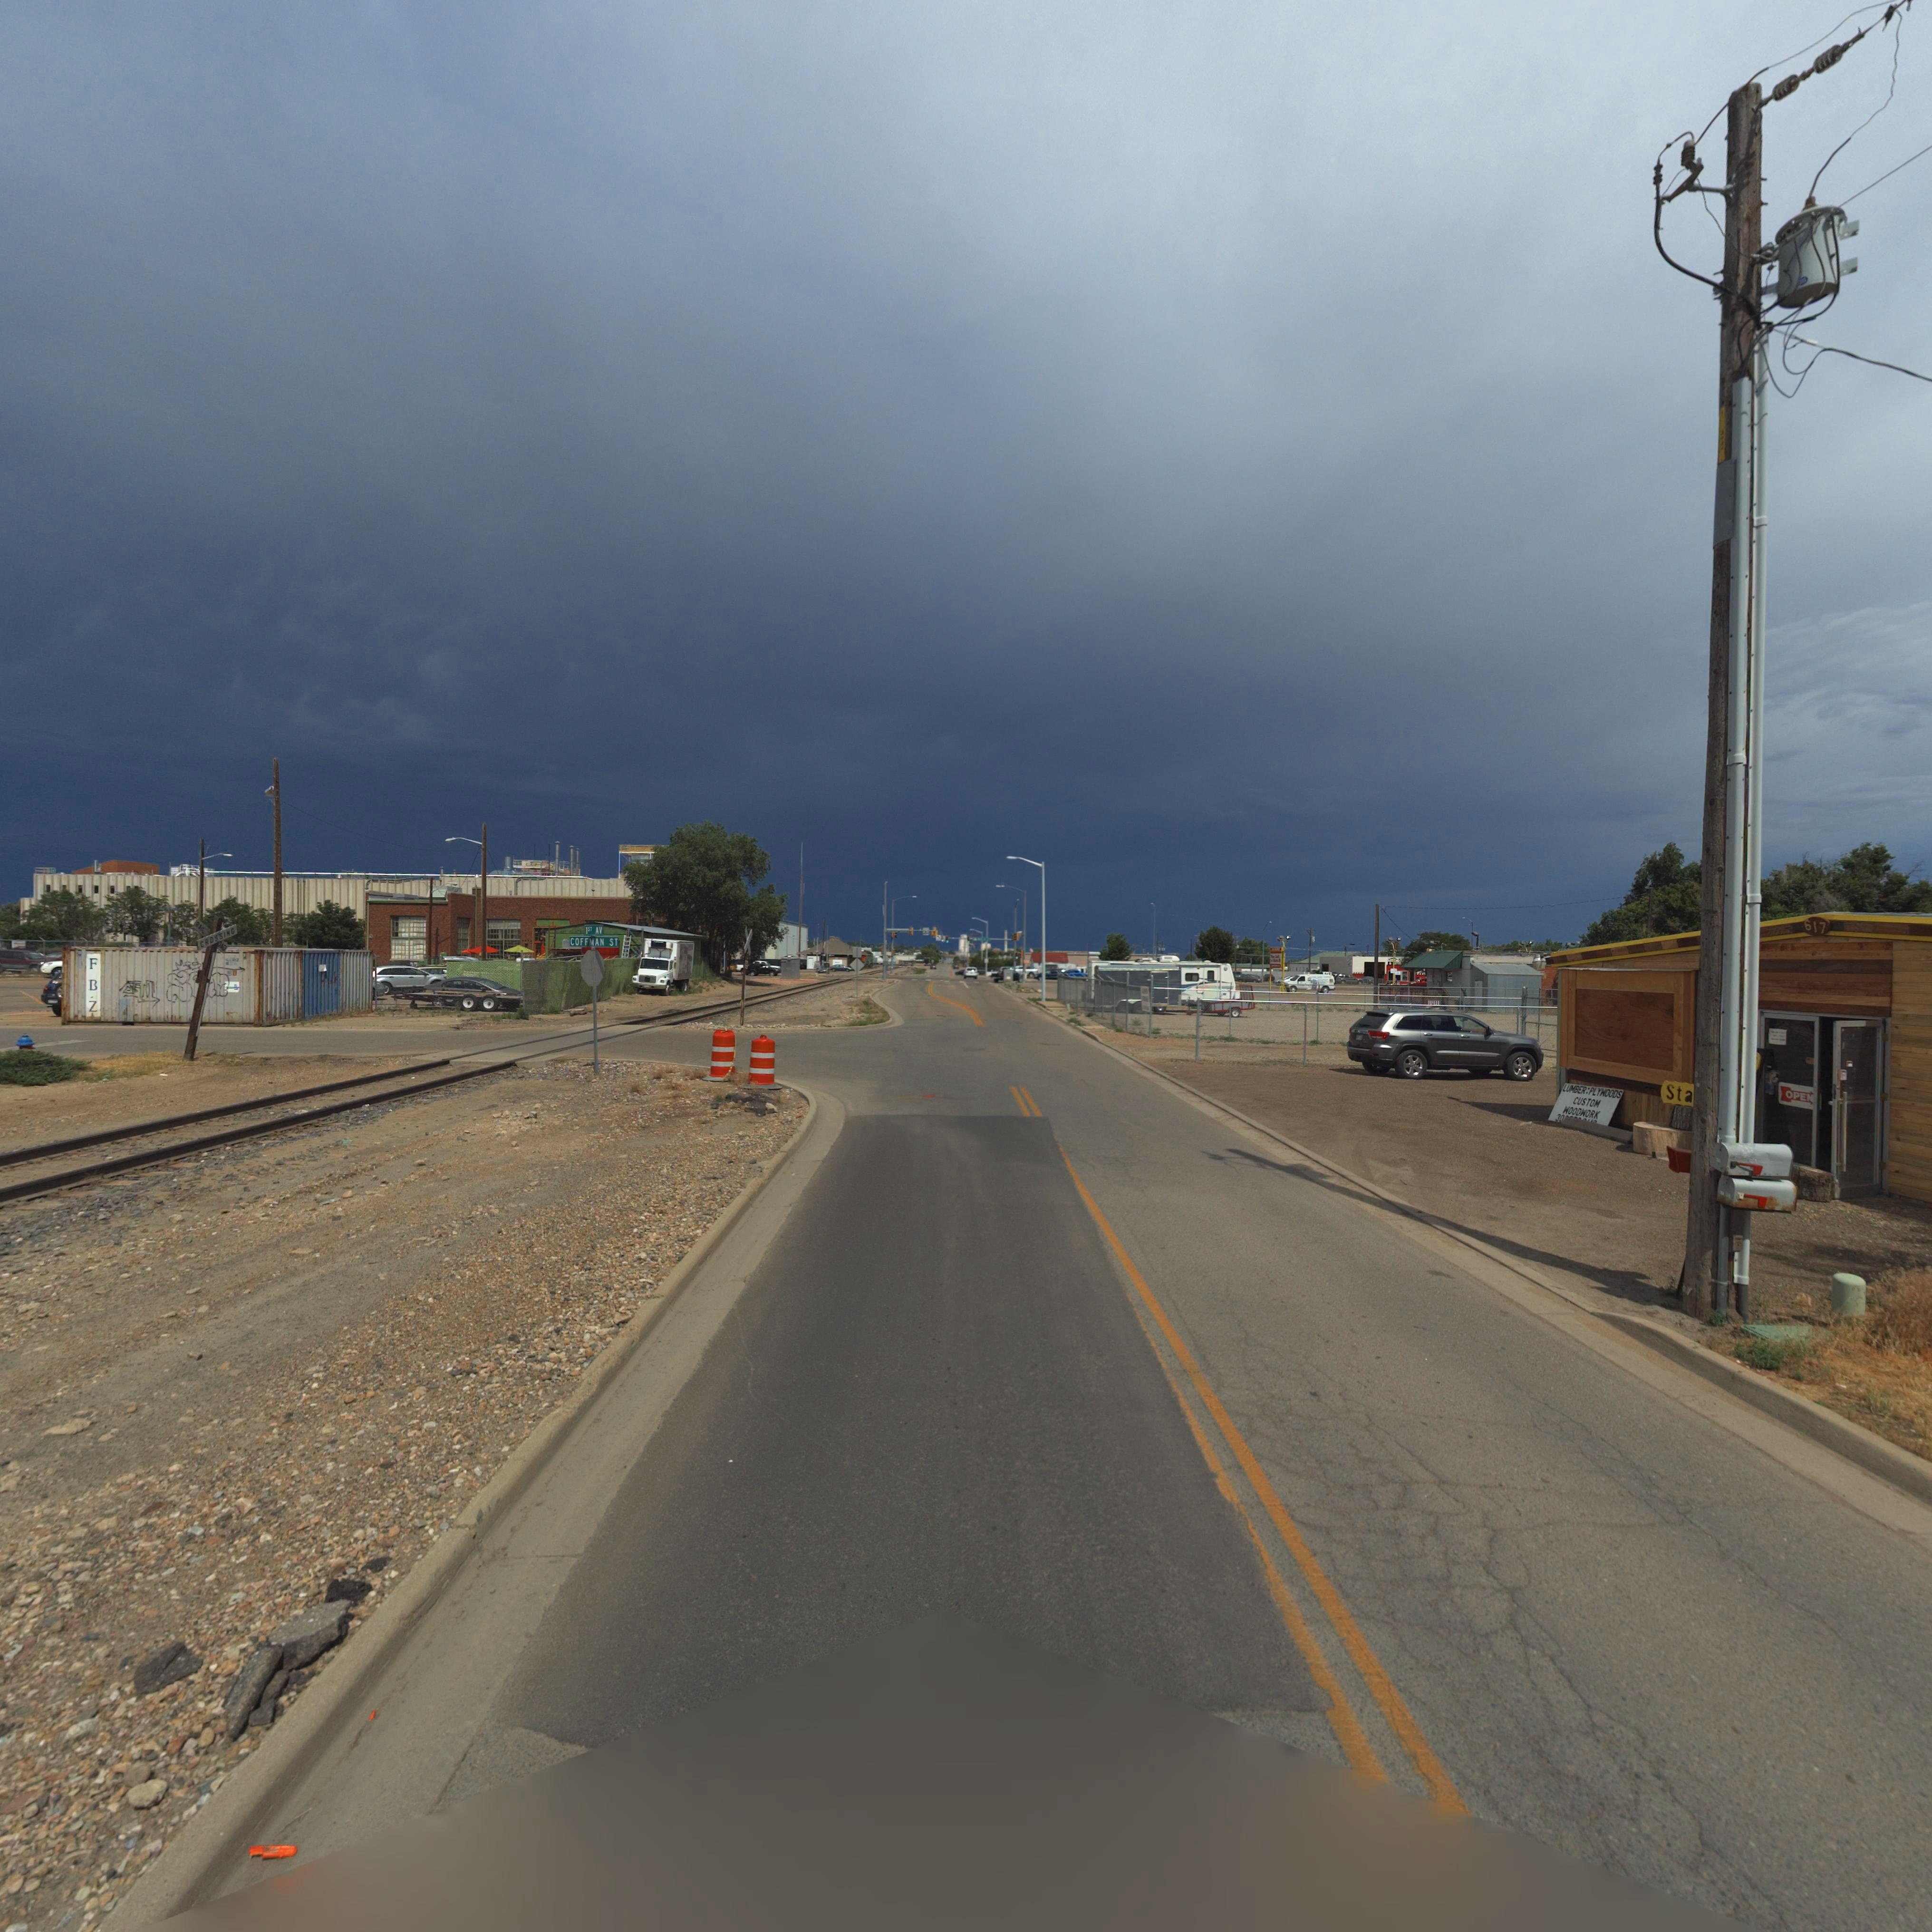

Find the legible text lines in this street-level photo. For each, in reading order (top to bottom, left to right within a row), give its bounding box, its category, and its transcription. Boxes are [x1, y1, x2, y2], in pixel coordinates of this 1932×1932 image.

[585, 926, 602, 934] StreetName: 1ST AV
[570, 937, 618, 946] StreetName: COFFMAN ST
[1665, 1083, 1692, 1103] BusinessName: Sta